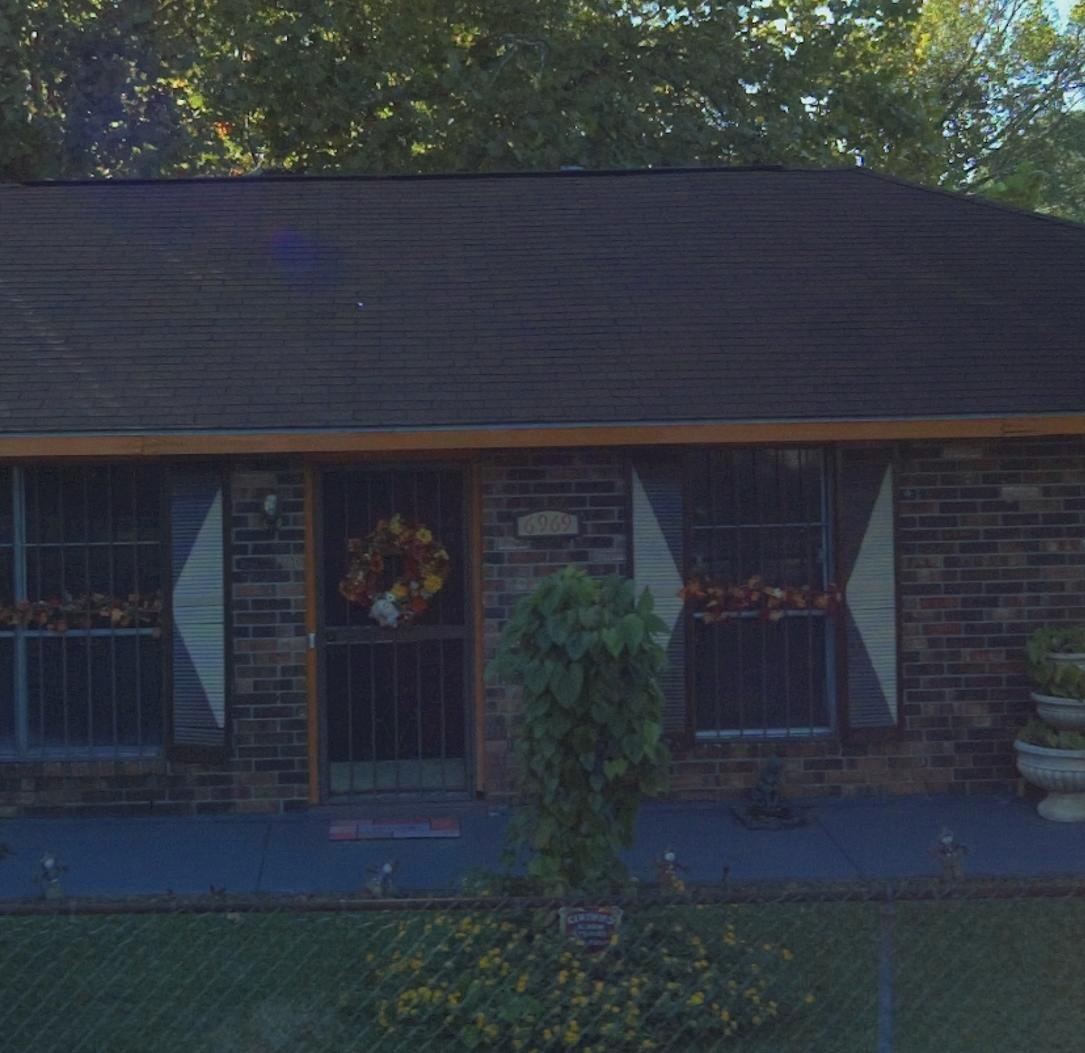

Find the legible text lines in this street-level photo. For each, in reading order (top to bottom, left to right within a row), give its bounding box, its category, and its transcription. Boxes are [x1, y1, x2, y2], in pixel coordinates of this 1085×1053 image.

[522, 513, 574, 535] StreetNumber: 6969